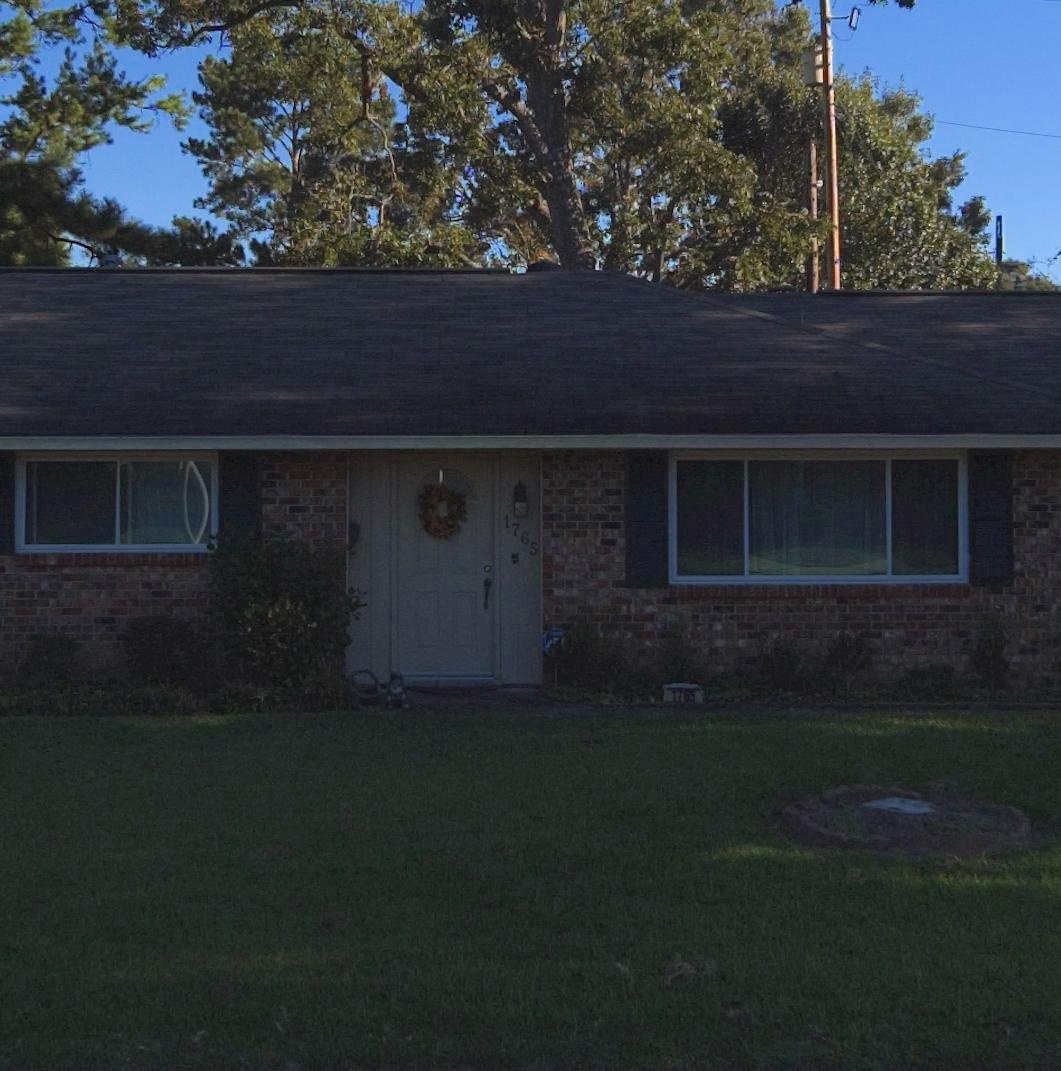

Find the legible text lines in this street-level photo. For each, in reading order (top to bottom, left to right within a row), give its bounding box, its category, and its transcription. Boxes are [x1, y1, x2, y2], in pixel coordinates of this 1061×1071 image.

[502, 513, 539, 557] StreetNumber: 1765
[668, 688, 700, 704] StreetNumber: 1765